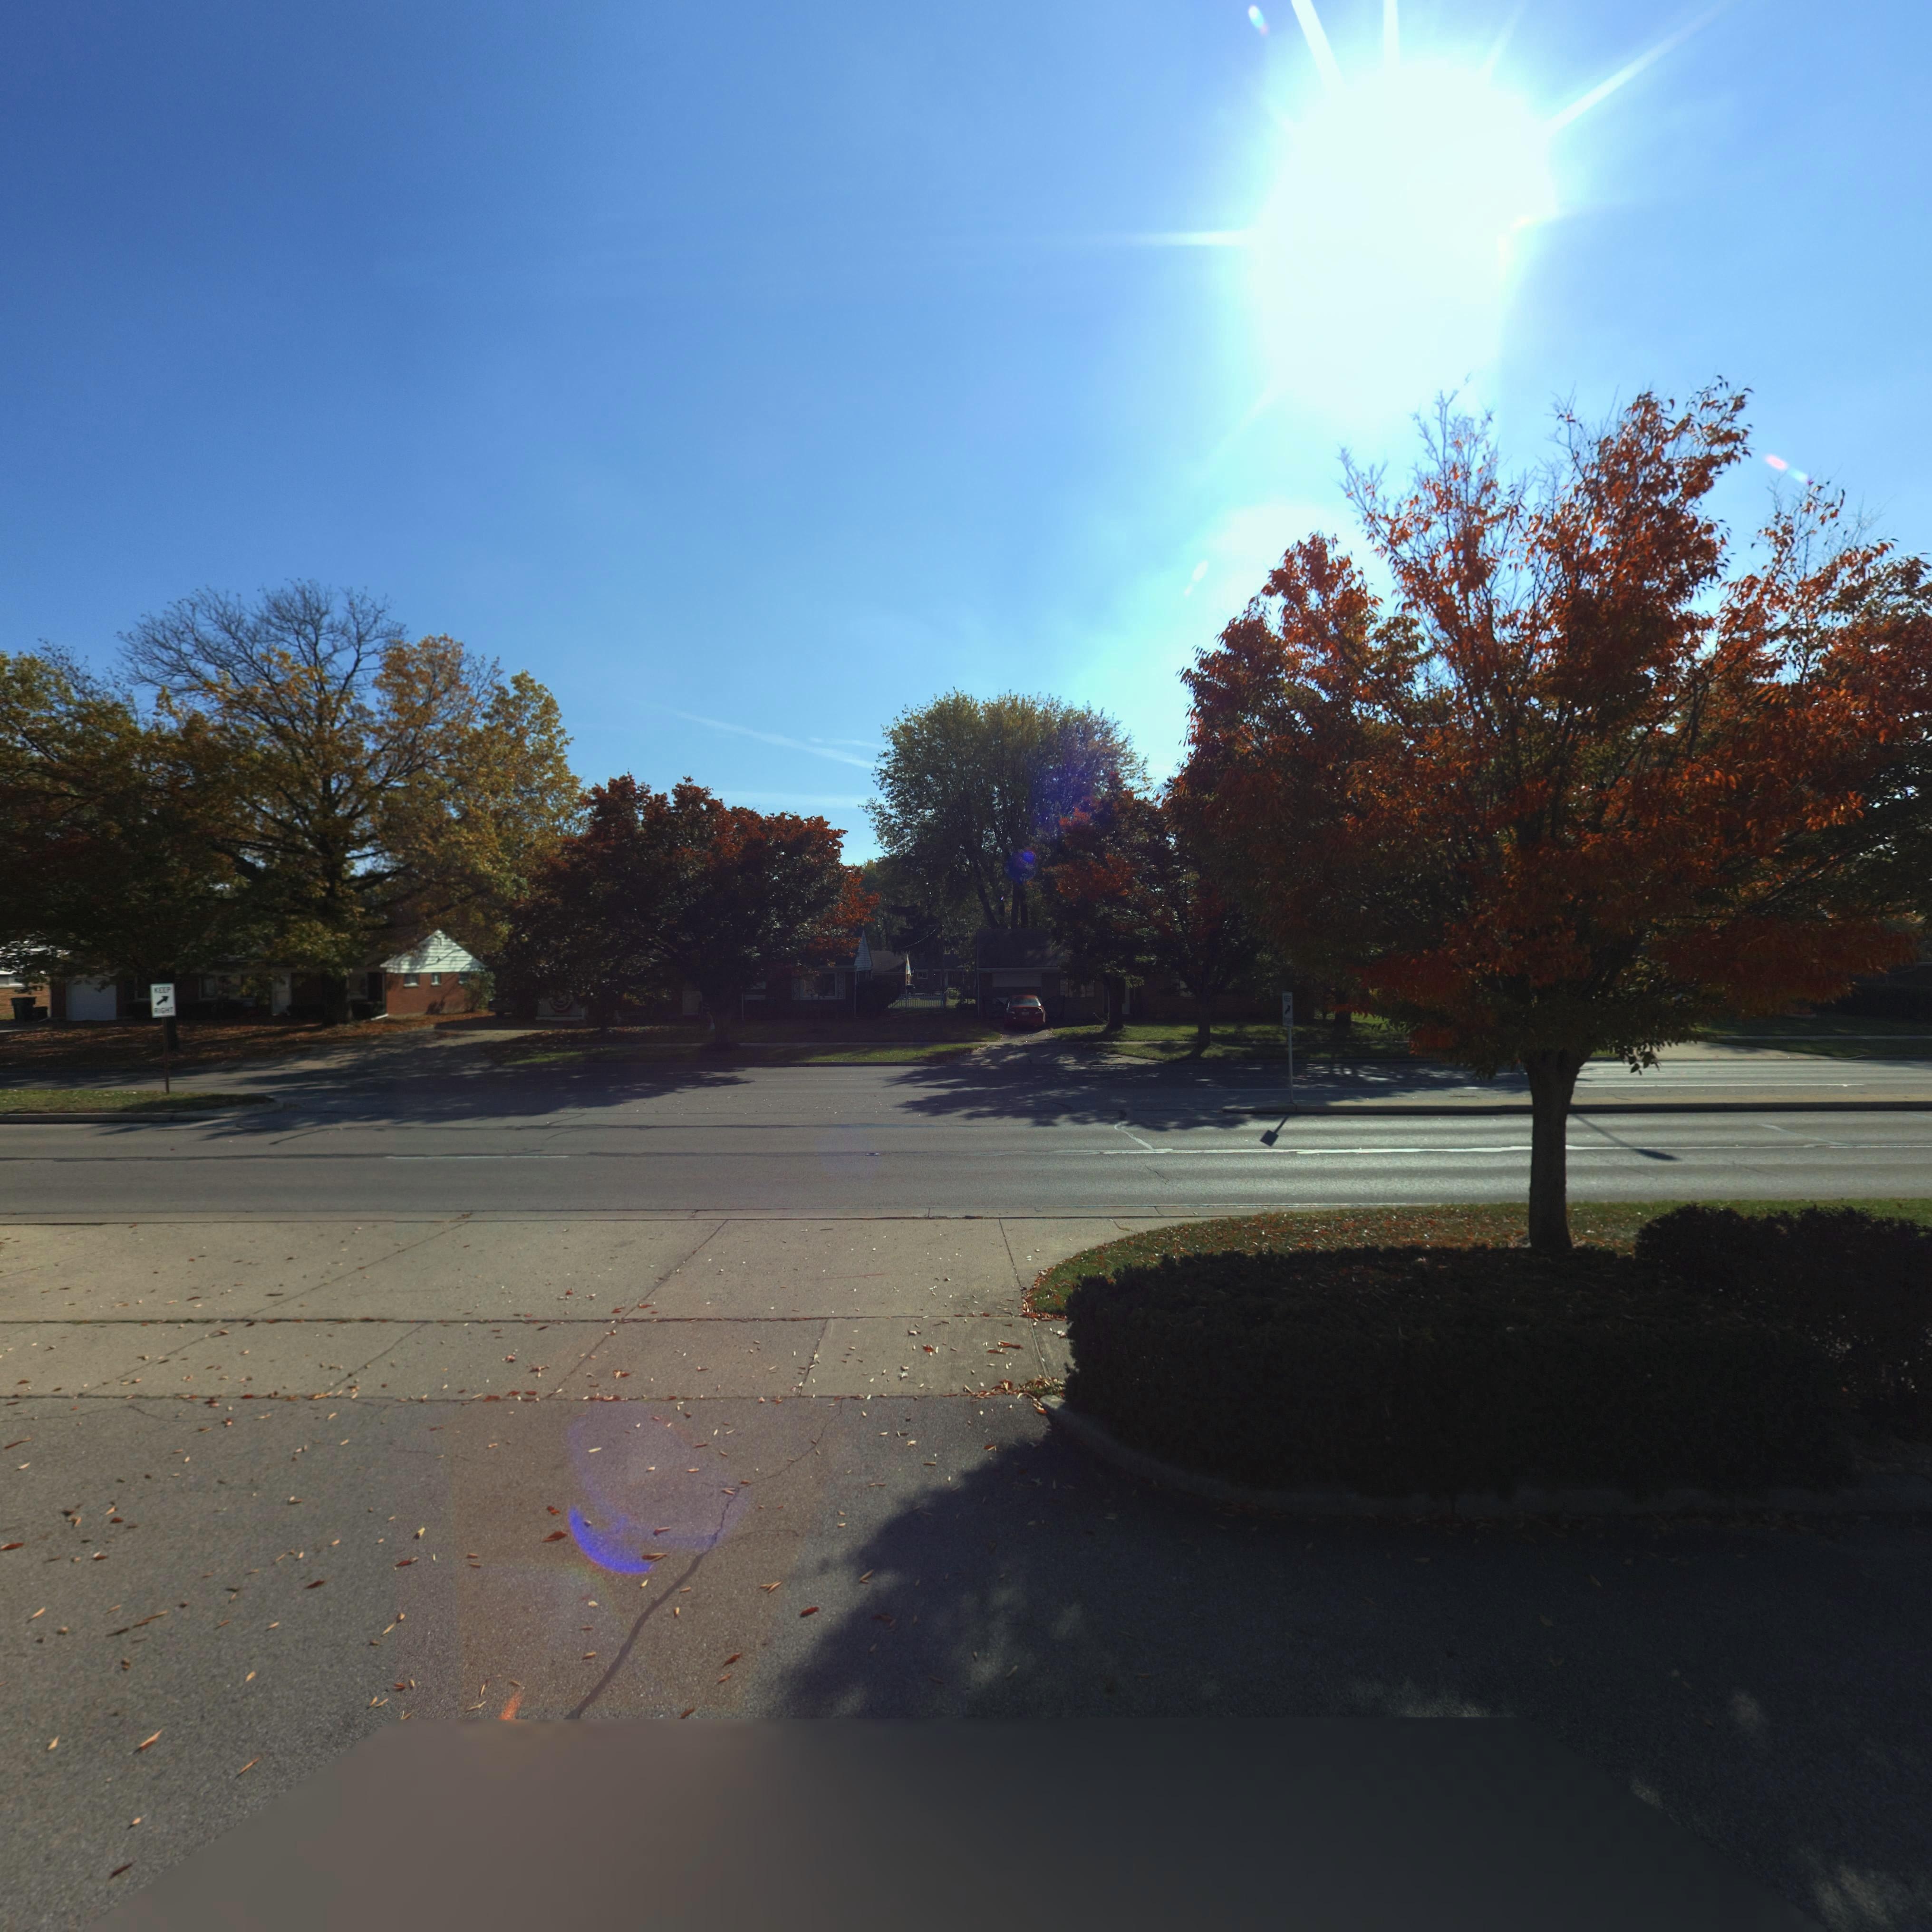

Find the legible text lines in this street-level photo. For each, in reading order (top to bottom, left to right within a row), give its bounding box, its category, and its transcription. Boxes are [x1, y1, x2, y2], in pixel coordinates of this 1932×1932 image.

[153, 986, 172, 994] None: KEEP
[1283, 995, 1292, 1003] None: KEEP
[154, 1006, 174, 1014] None: RIGHT
[1283, 1017, 1293, 1024] None: RIG**